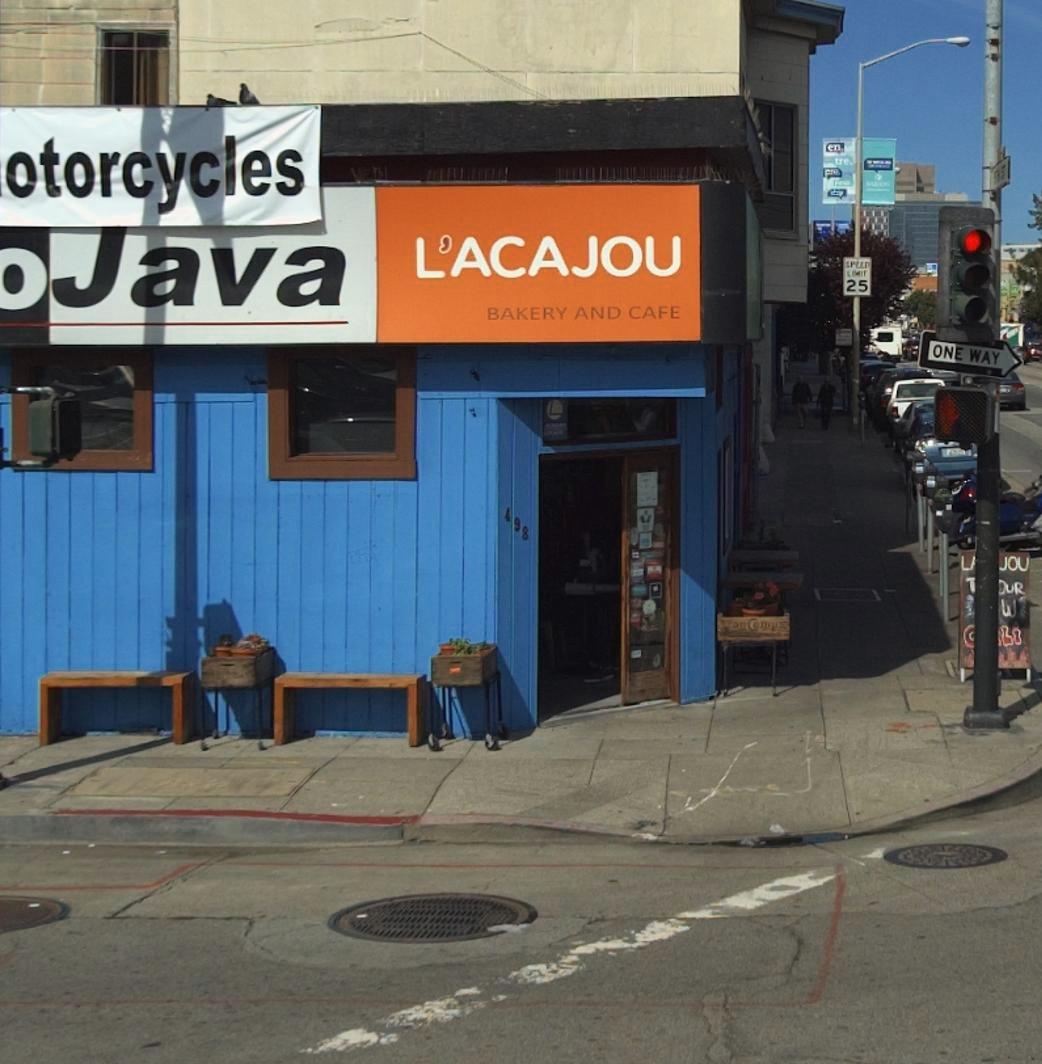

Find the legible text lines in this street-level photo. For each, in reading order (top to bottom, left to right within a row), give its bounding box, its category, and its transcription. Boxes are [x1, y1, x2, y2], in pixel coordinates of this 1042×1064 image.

[825, 142, 842, 153] None: en
[832, 156, 855, 167] None: tre.
[0, 126, 310, 226] None: otorcycles
[45, 220, 365, 317] BusinessName: Java
[408, 227, 687, 284] BusinessName: L'ACAJOU
[844, 268, 869, 280] None: LIMIT
[843, 259, 873, 271] None: SPEED
[844, 277, 870, 294] None: 25
[483, 302, 685, 326] None: BAKERY AND CAFE
[929, 340, 1005, 368] None: ONE WAY
[501, 501, 532, 552] StreetNumber: 498
[1003, 554, 1032, 576] None: OU
[1001, 577, 1029, 598] None: UR
[745, 616, 787, 634] None: Comys
[1001, 623, 1025, 649] None: LI